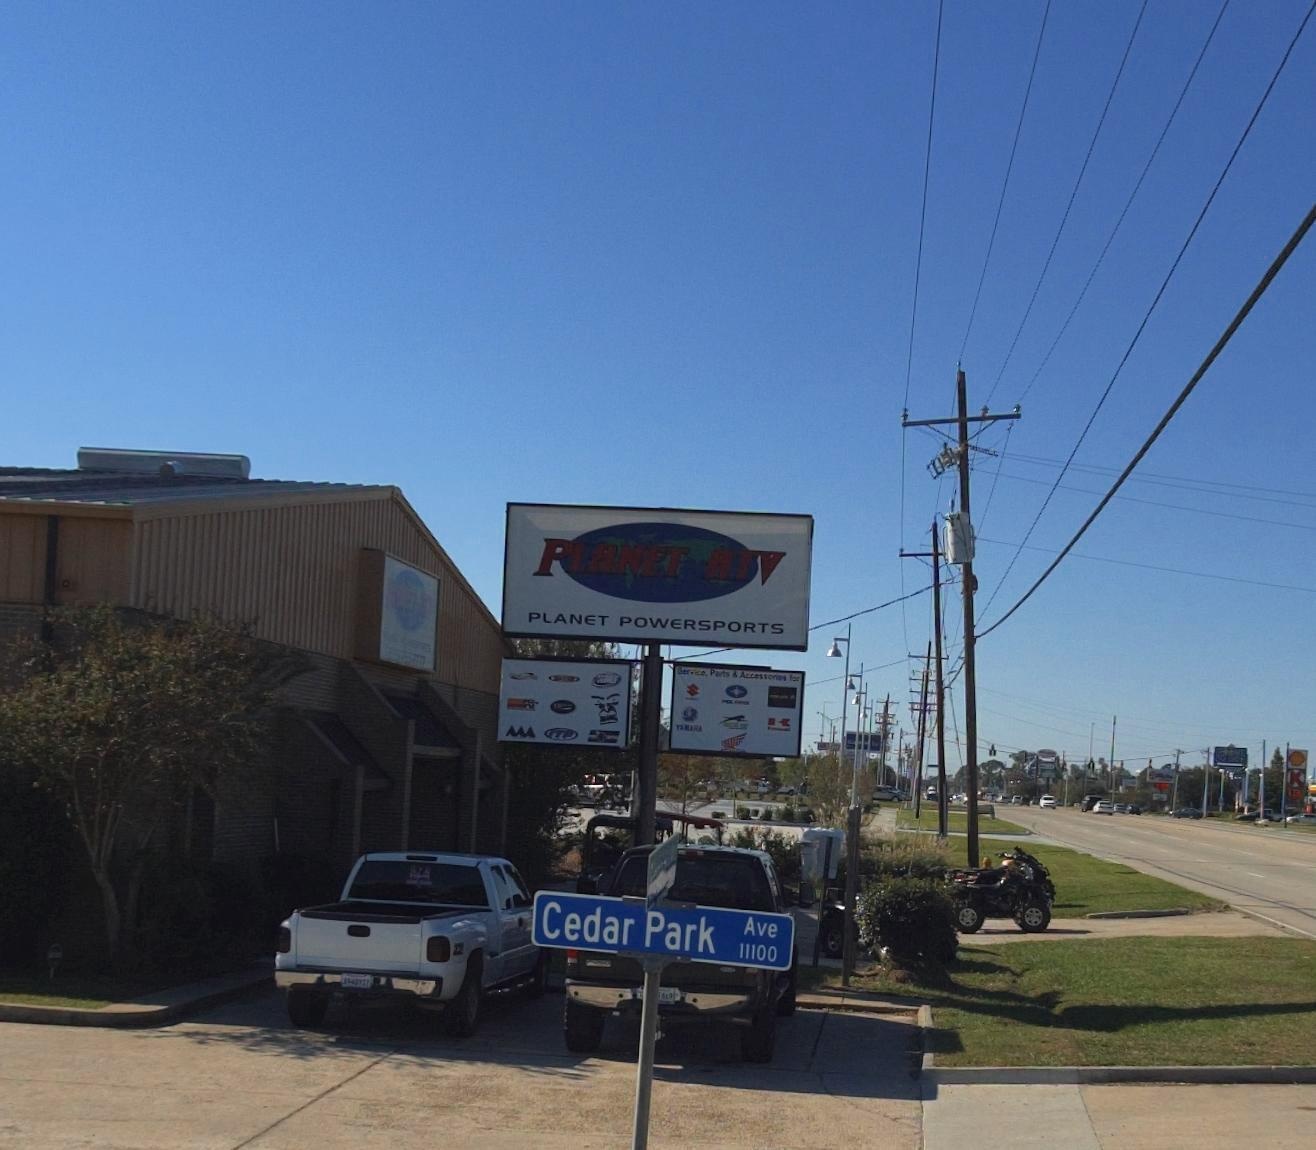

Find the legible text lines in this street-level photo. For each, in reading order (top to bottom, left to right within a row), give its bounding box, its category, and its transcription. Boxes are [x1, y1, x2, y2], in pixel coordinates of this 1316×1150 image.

[528, 535, 792, 589] BusinessName: PLANET ATV
[525, 609, 787, 637] BusinessName: PLANET POWERSPORTS
[693, 664, 803, 684] None: ce, Parts & Accessories for
[538, 898, 781, 957] StreetName: Cedar Park Ave
[736, 940, 779, 965] StreetNumber: 11100